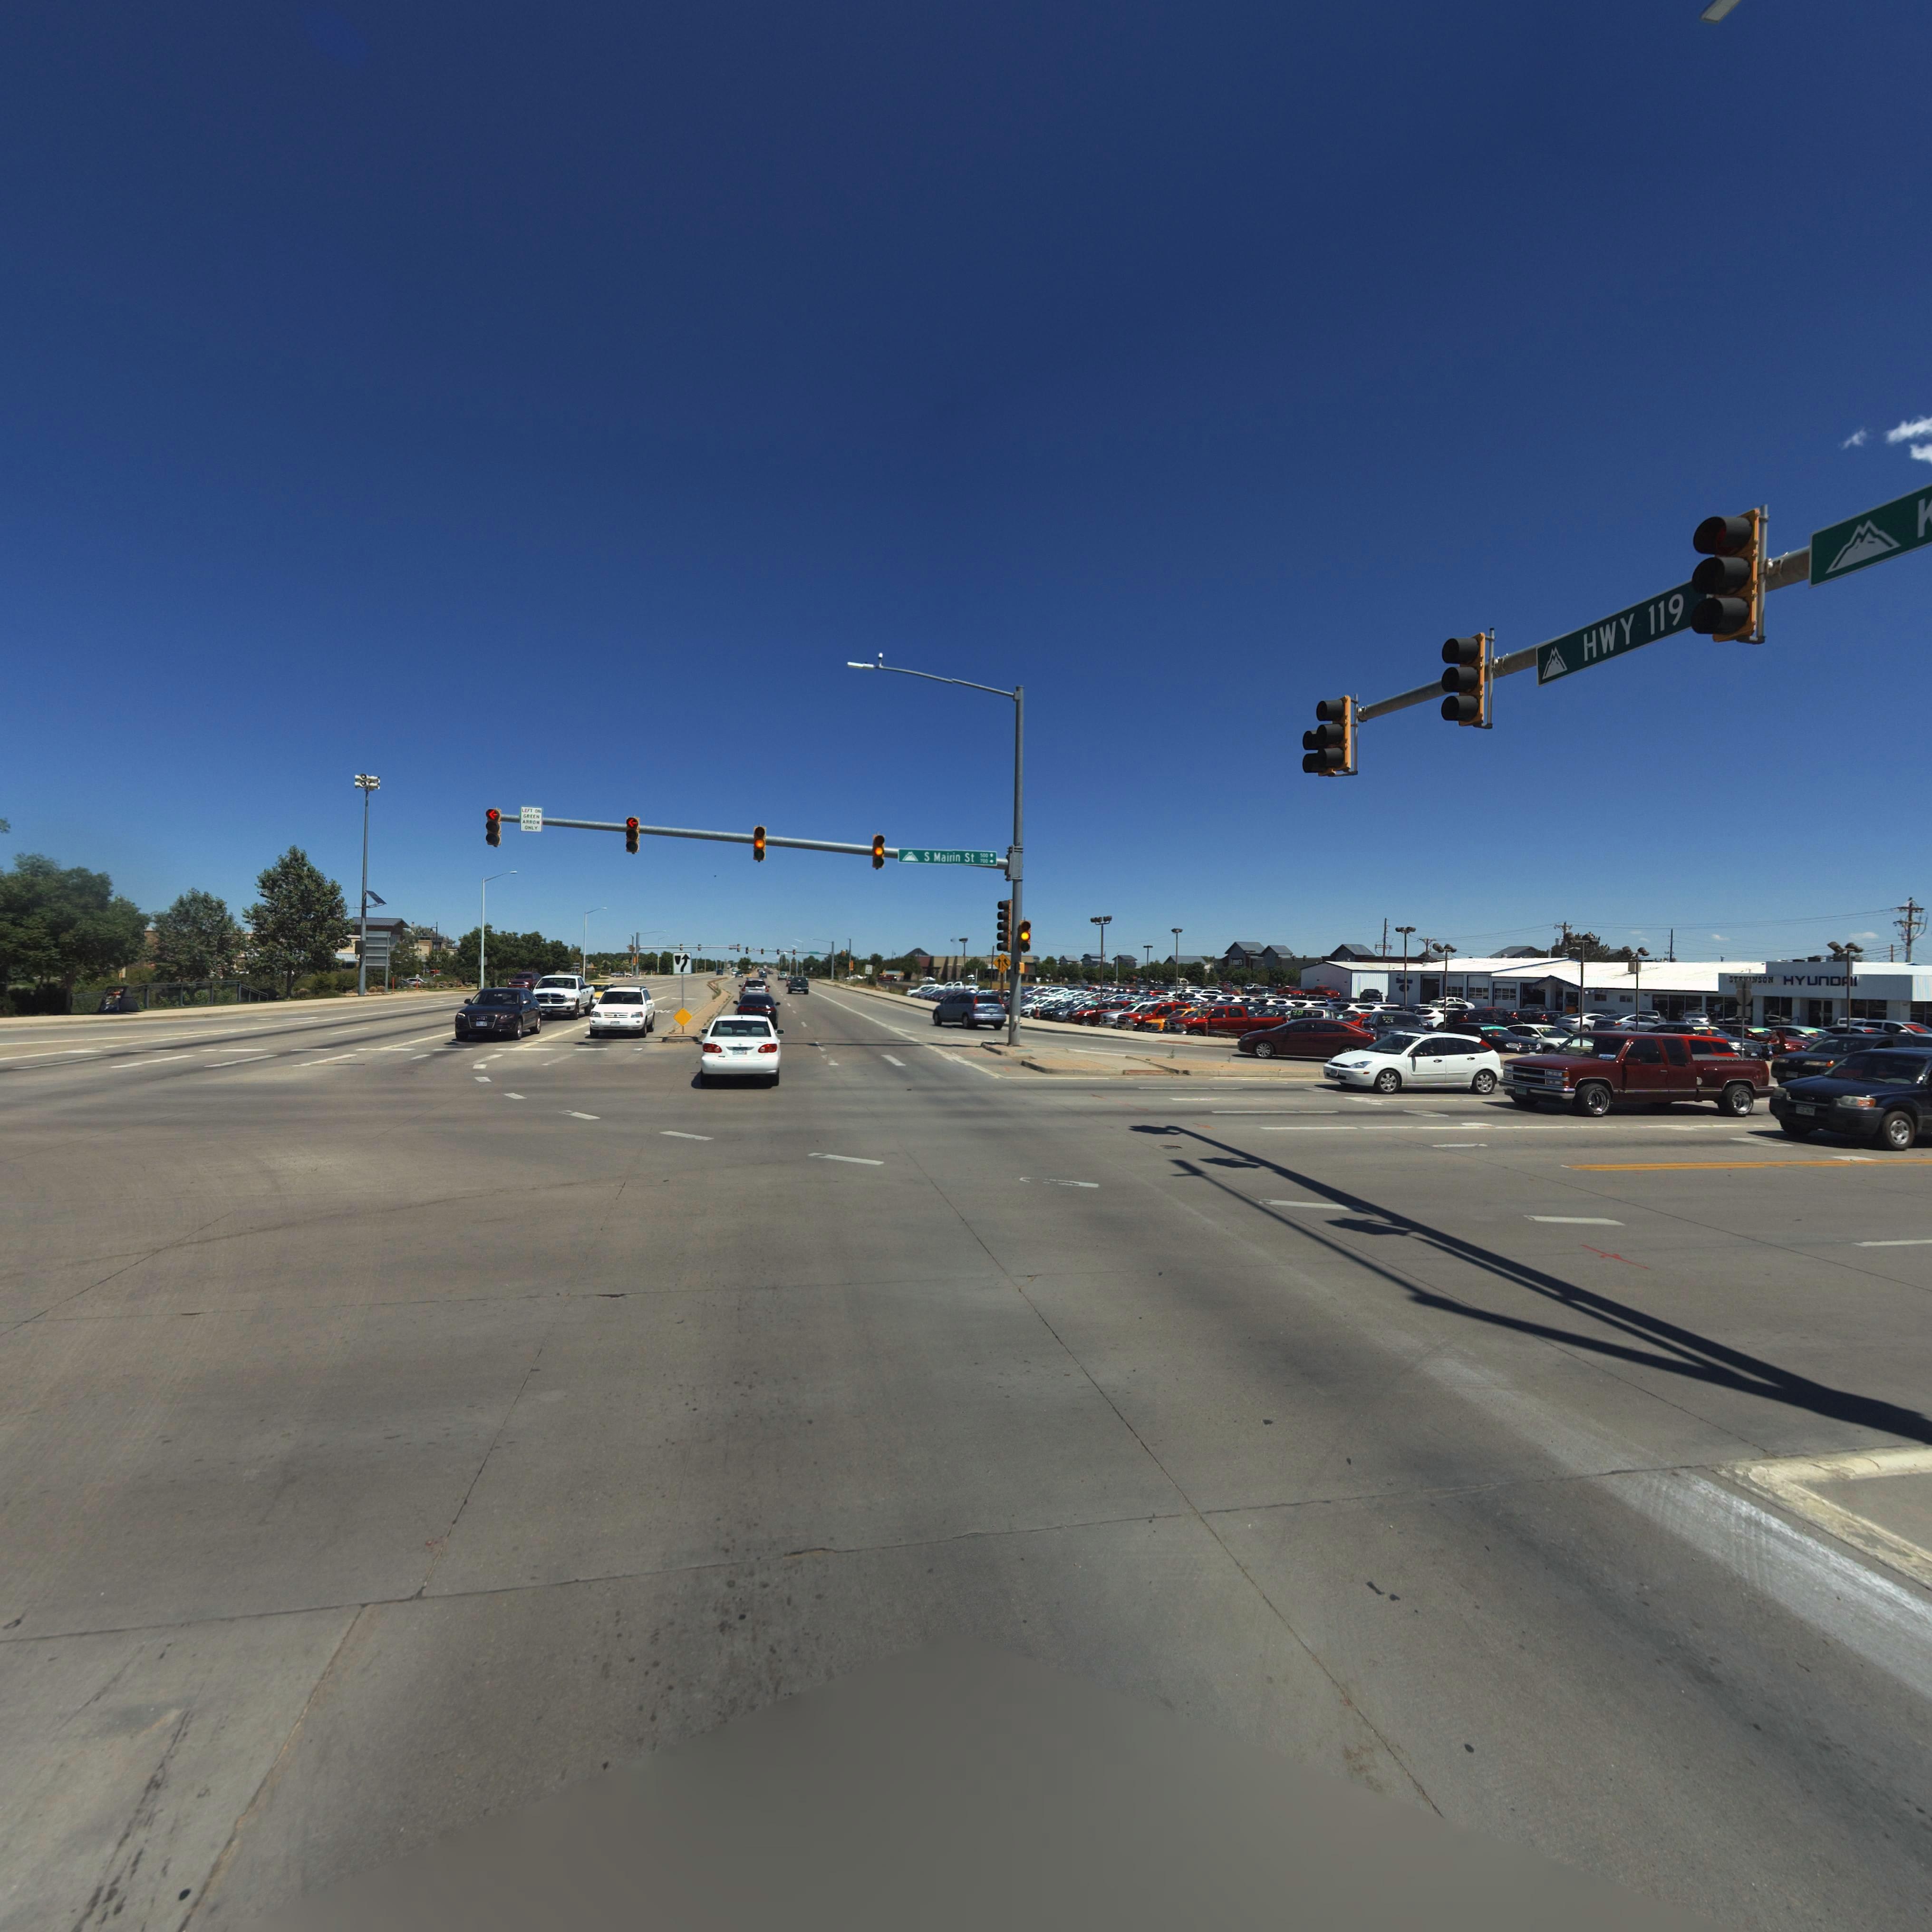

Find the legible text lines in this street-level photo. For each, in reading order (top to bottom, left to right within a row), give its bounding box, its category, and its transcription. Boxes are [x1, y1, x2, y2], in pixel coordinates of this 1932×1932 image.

[1582, 591, 1686, 662] StreetName: HWY 119
[923, 850, 975, 862] StreetName: S Mairin St
[979, 852, 989, 858] StreetNumberRange: 500
[979, 859, 994, 863] StreetNumberRange: 700 ->
[1230, 958, 1243, 965] BusinessName: LO*E'S
[1395, 977, 1412, 984] BusinessName: S*******
[1729, 976, 1773, 983] BusinessName: STEVINSON*
[1779, 975, 1855, 986] BusinessName: HYUnDAI